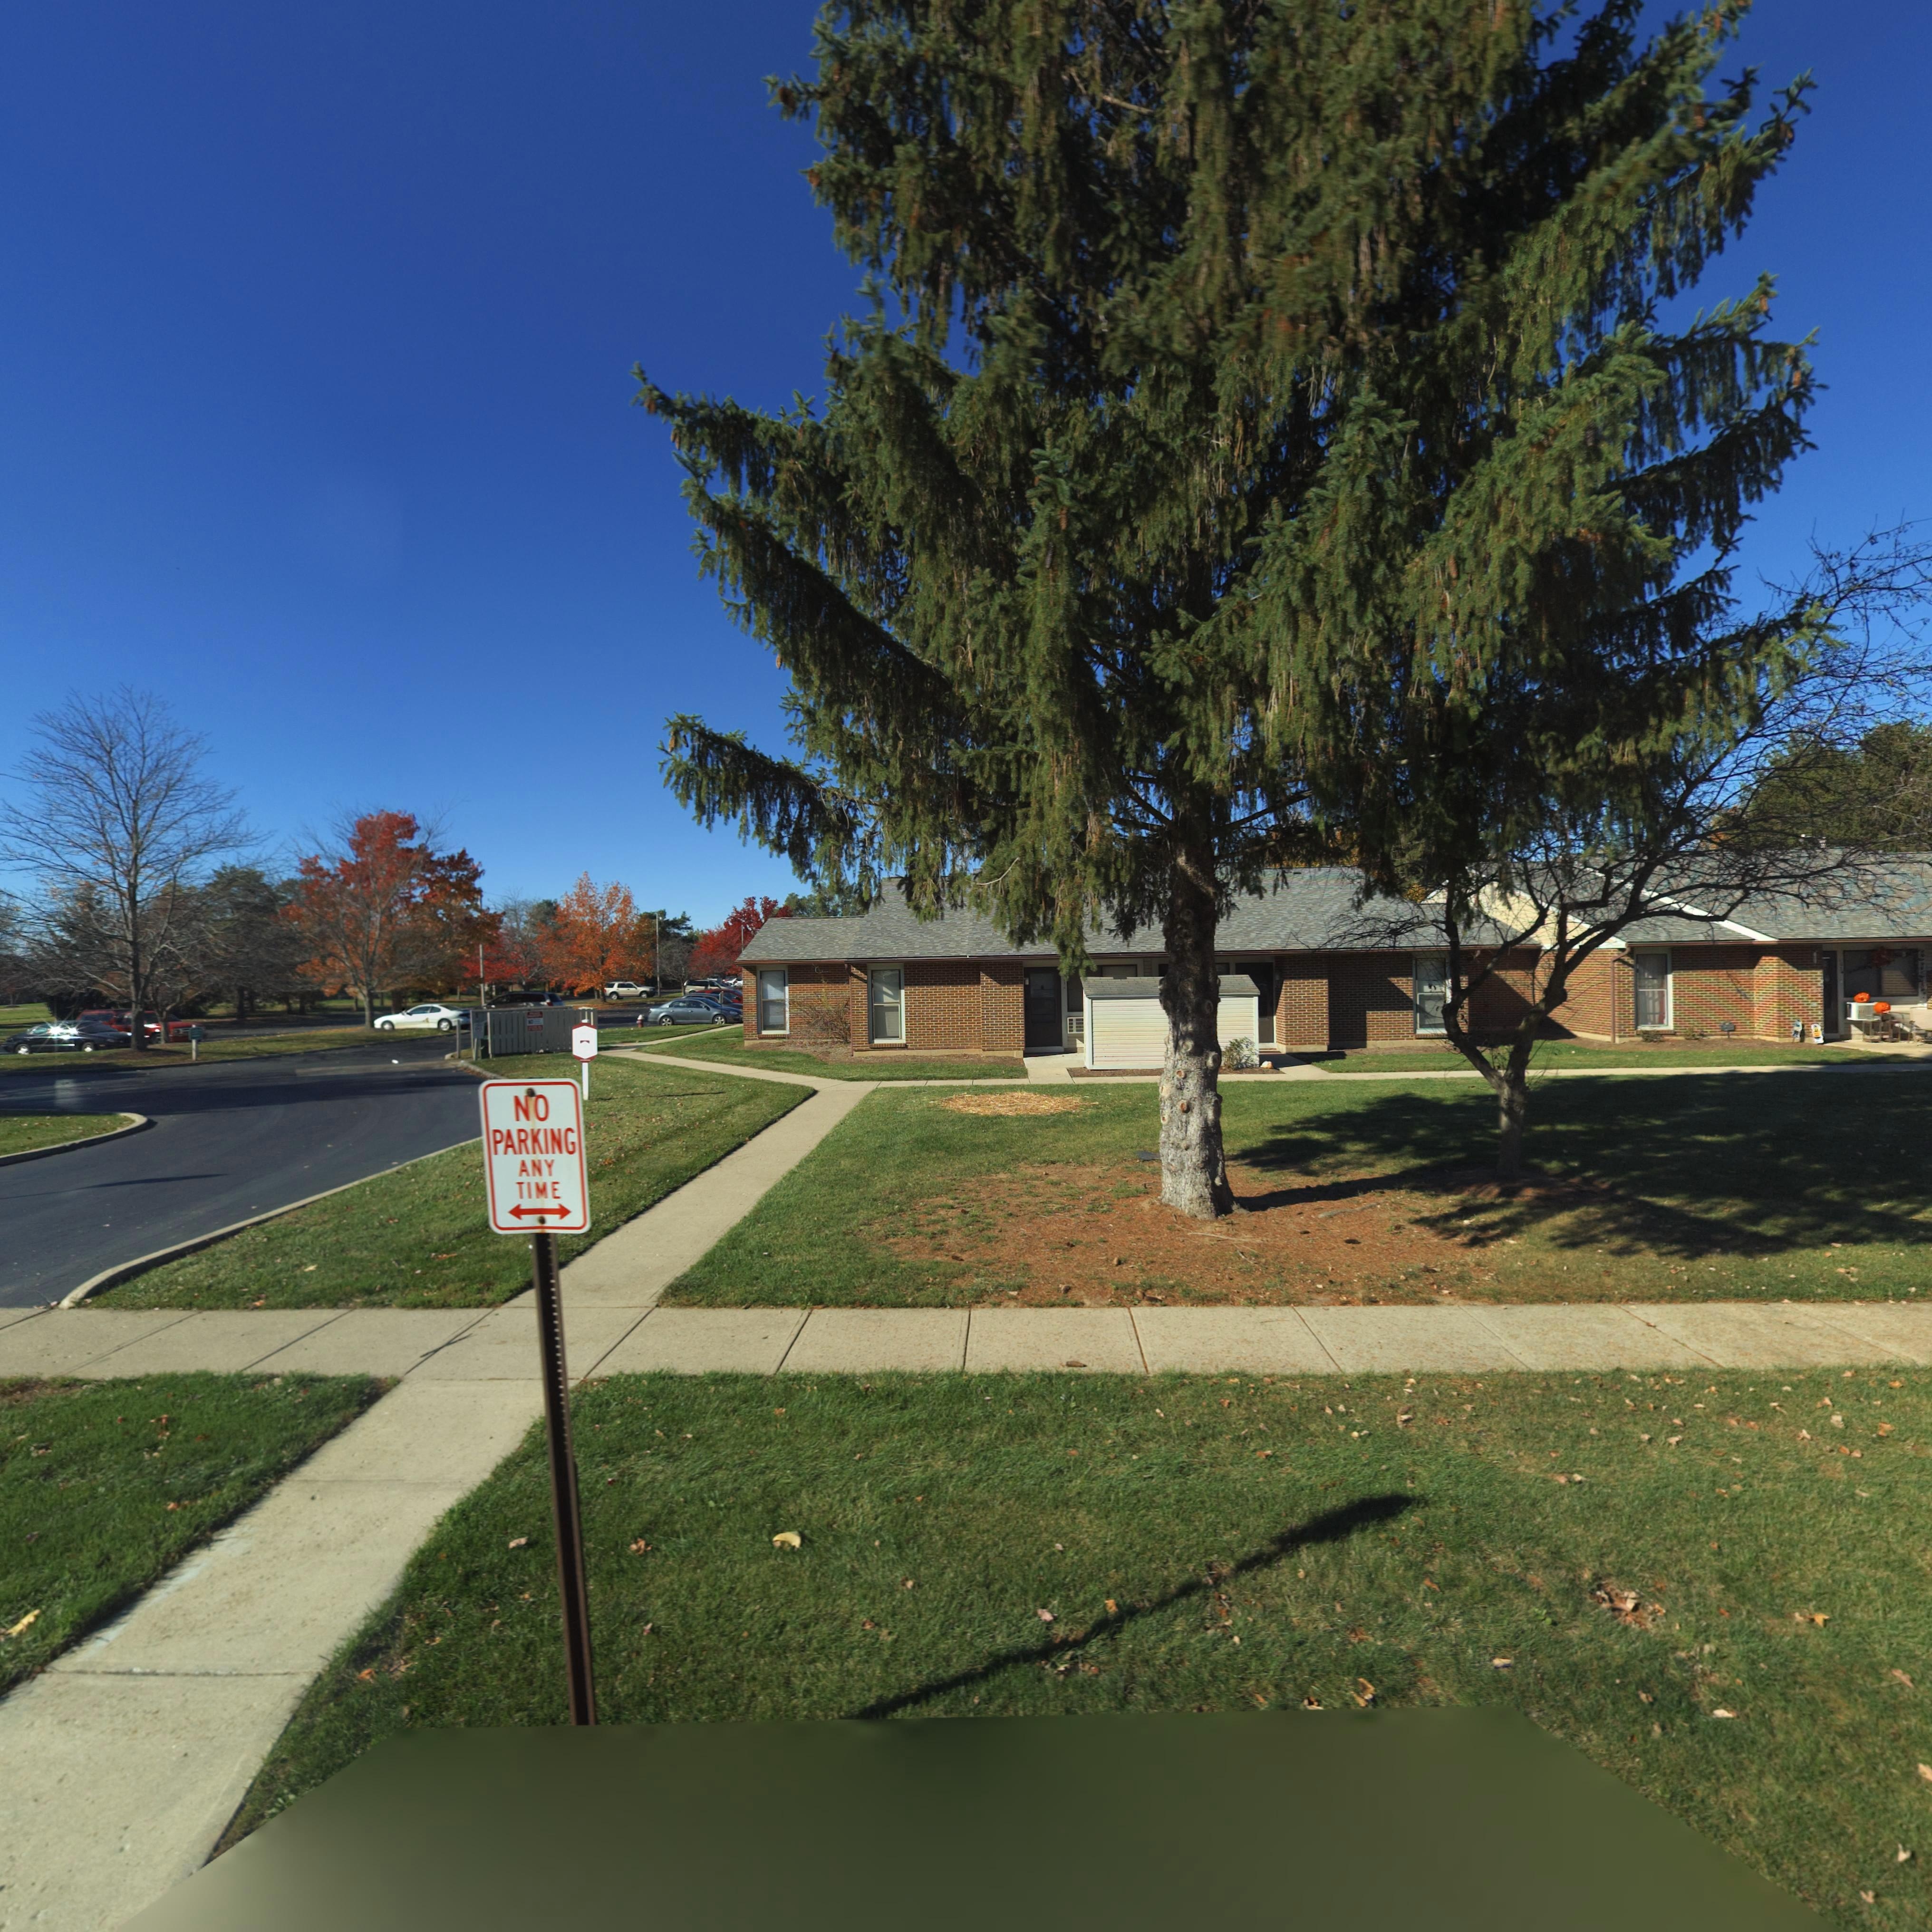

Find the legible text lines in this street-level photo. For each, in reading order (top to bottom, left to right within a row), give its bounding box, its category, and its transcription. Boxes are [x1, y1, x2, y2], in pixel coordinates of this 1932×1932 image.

[1063, 981, 1066, 985] StreetNumber: 1
[509, 1092, 551, 1124] None: NO
[490, 1126, 578, 1158] None: PARKING
[515, 1159, 556, 1178] None: ANY
[513, 1179, 561, 1201] None: TIME